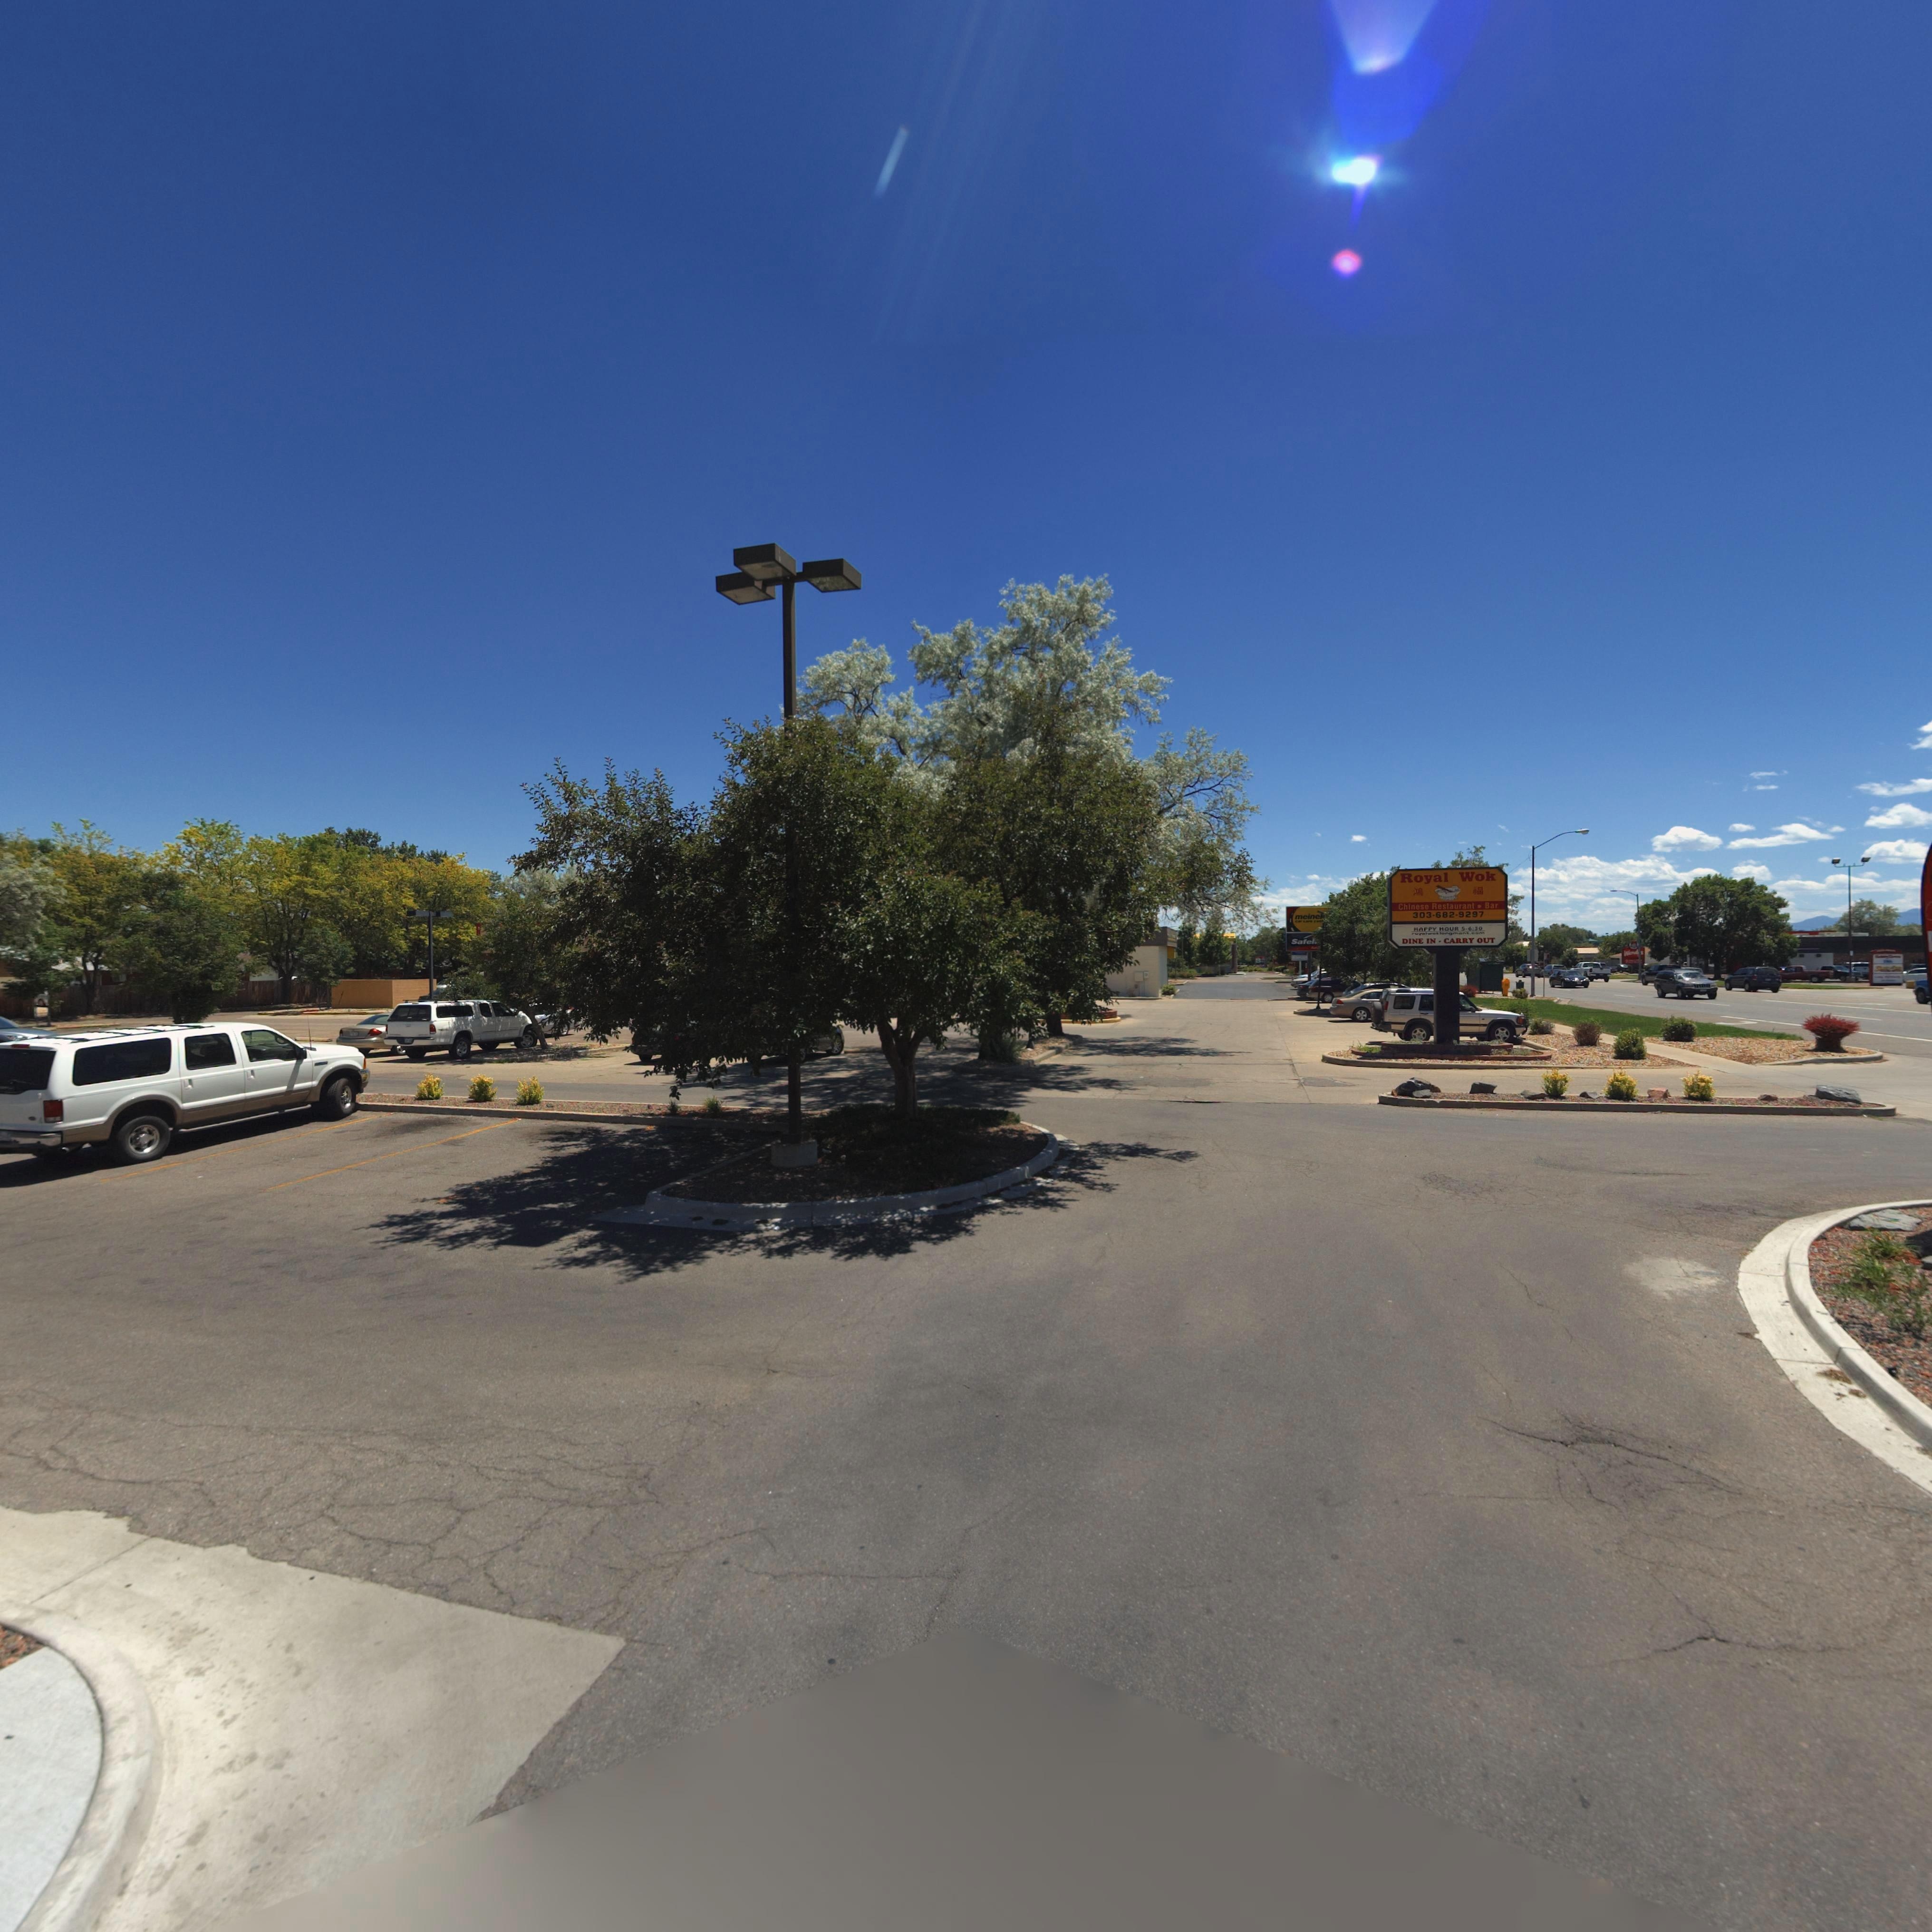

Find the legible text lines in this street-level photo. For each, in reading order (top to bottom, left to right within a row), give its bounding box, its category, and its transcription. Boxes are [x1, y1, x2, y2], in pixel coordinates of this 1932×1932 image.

[1400, 870, 1496, 884] BusinessName: ROYAL WOK
[1398, 901, 1498, 910] BusinessName: Chinese Restaurant* Bar
[1294, 913, 1320, 919] BusinessName: meine
[1290, 938, 1312, 945] BusinessName: Safe
[1623, 948, 1644, 957] BusinessName: W**d*s
[1874, 965, 1902, 972] BusinessName: S******